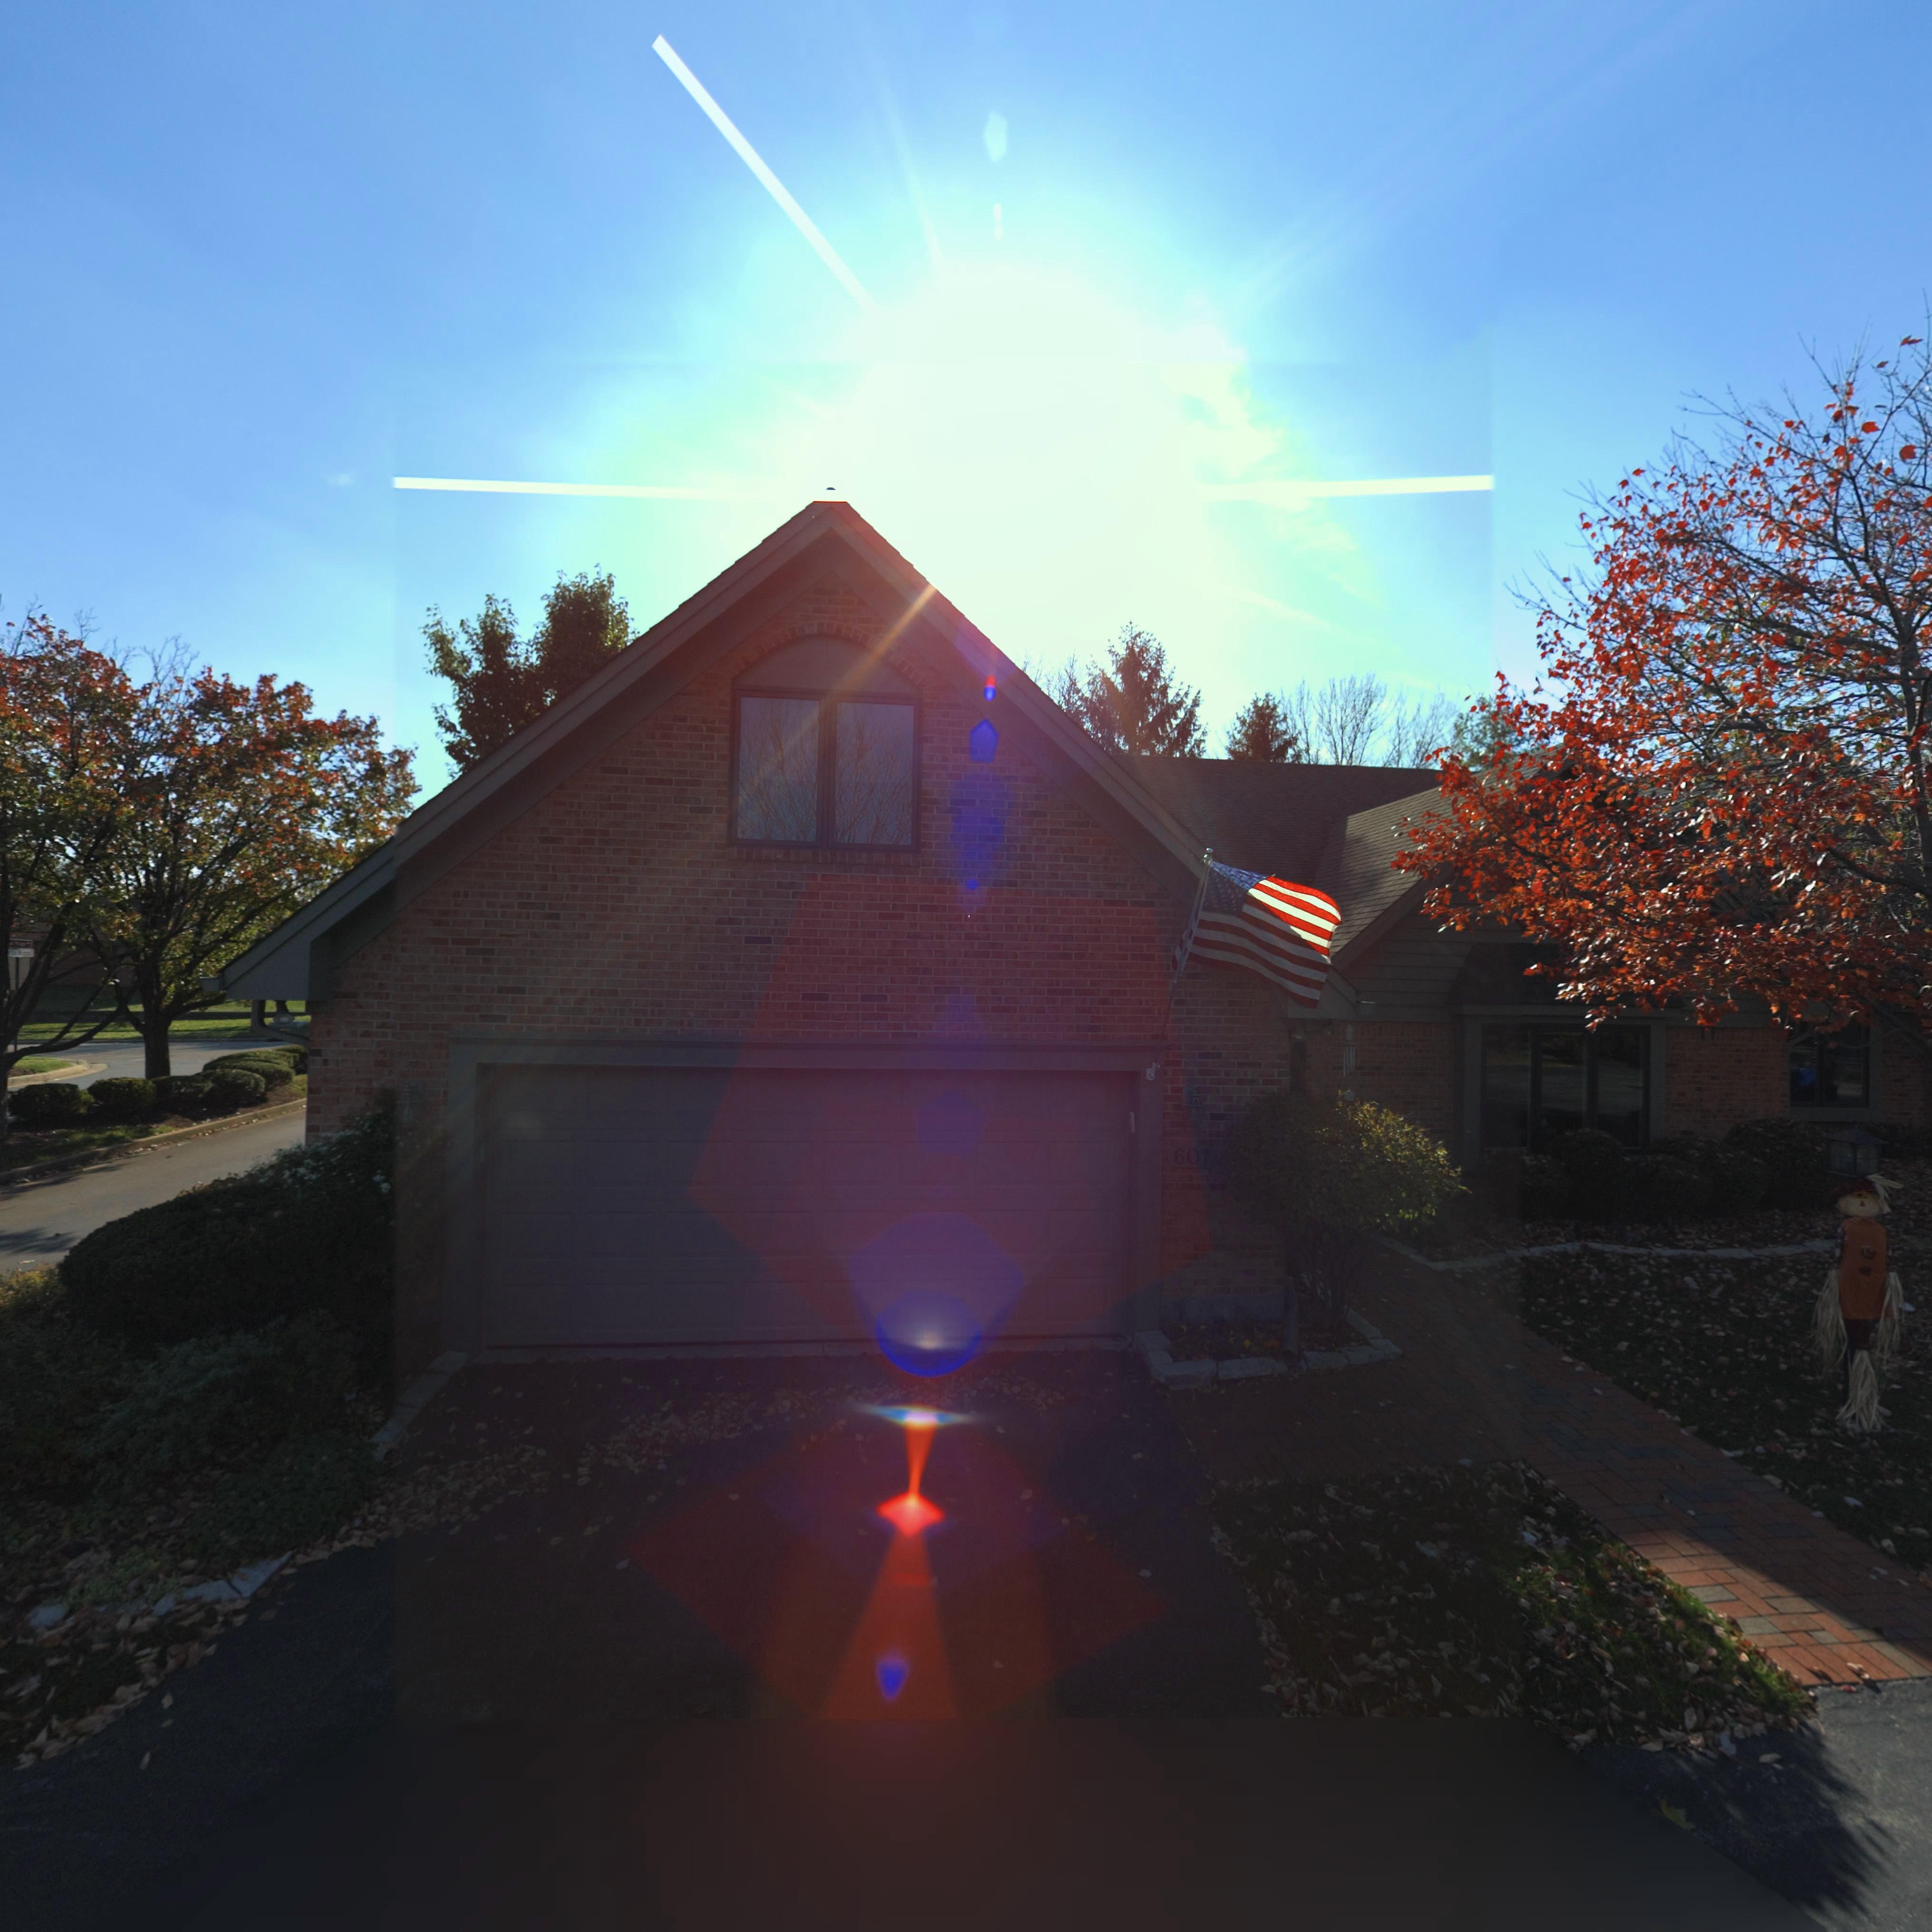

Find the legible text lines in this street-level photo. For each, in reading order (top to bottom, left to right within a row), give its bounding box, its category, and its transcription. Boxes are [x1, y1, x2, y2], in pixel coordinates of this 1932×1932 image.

[1172, 1146, 1213, 1167] StreetNumber: 601